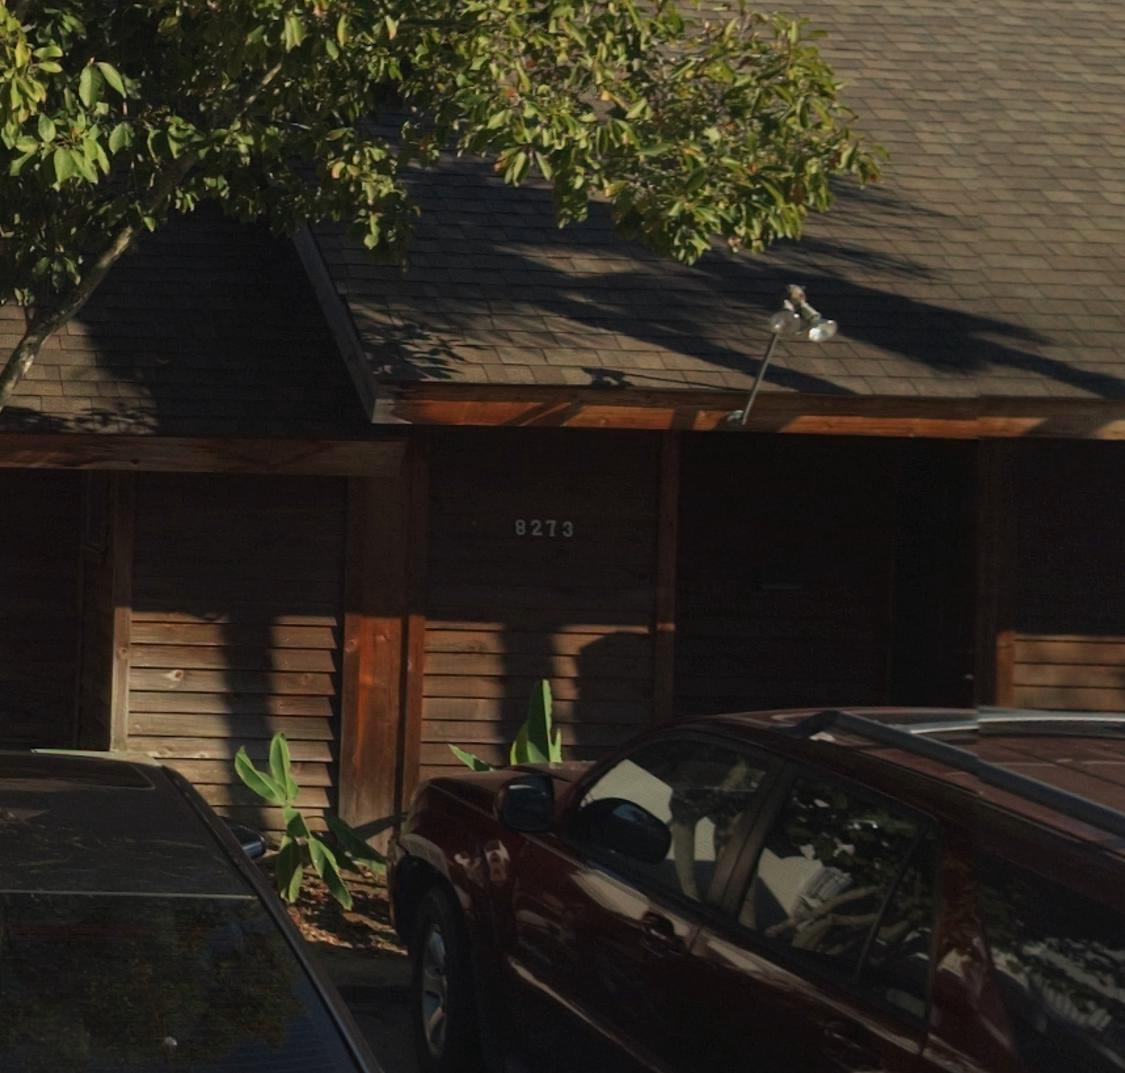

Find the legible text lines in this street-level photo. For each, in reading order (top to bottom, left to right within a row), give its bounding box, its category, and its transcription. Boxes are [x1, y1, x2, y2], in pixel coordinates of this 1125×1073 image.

[513, 517, 575, 538] StreetNumber: 8273